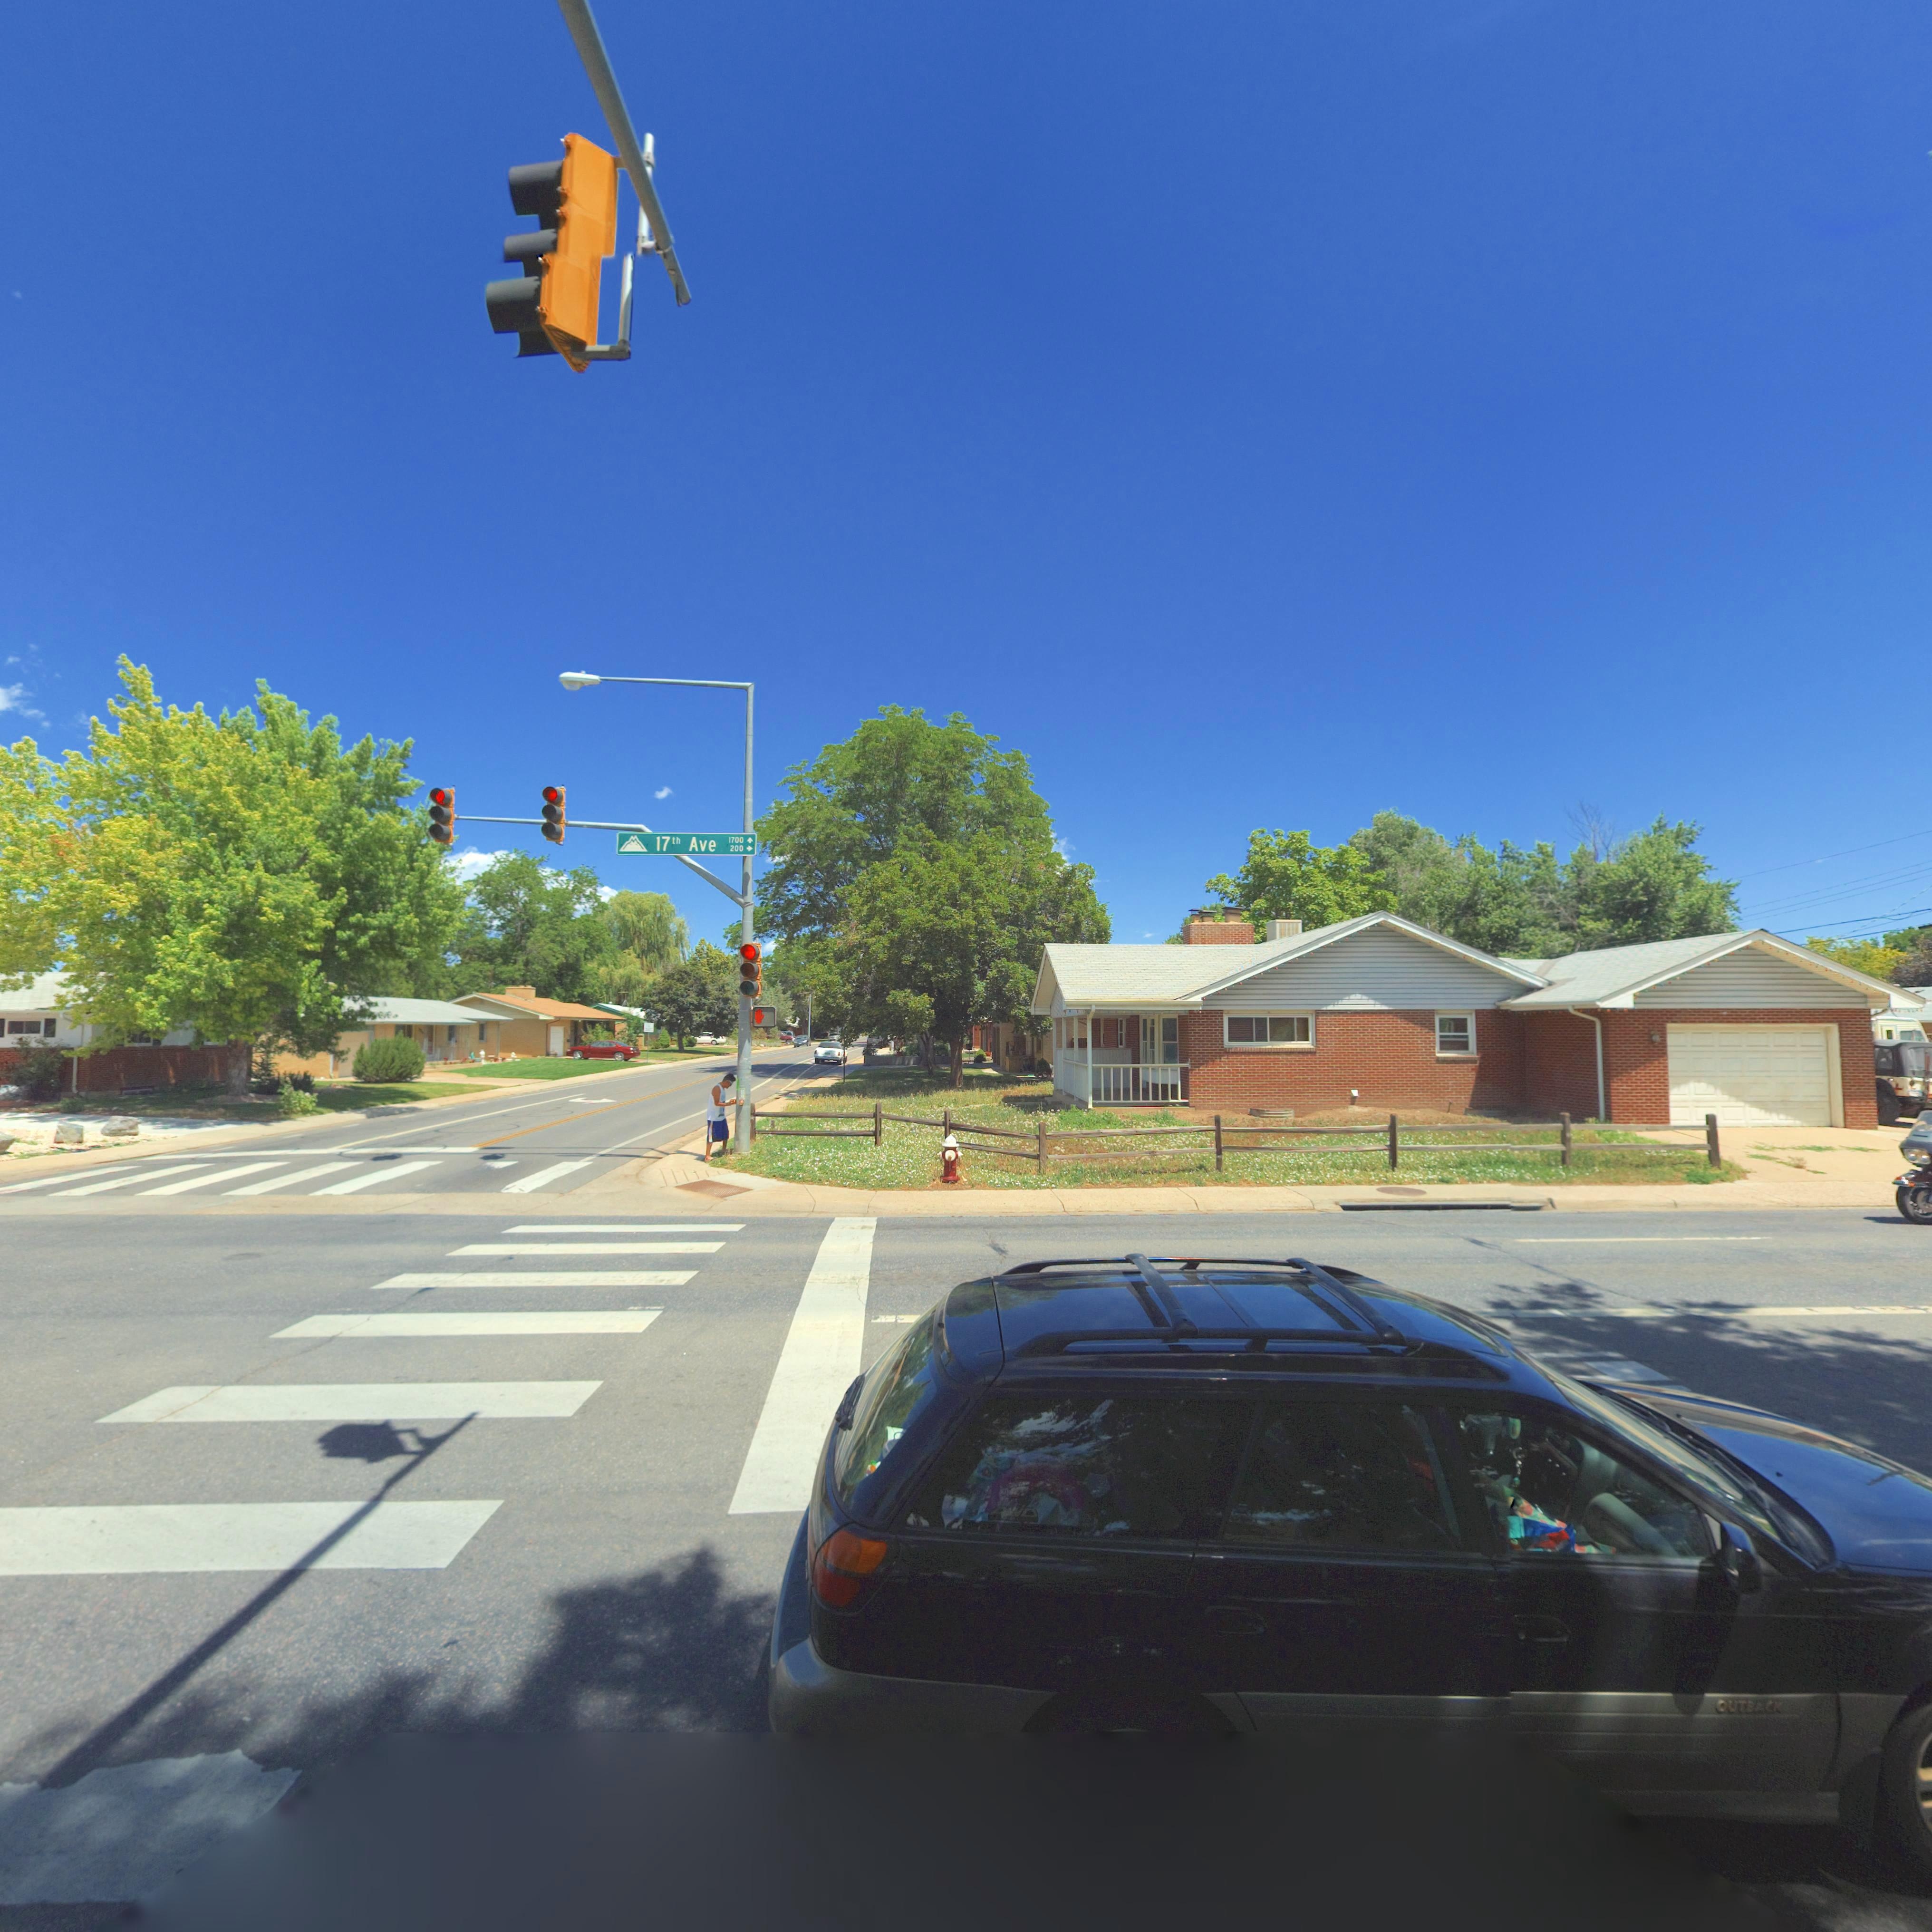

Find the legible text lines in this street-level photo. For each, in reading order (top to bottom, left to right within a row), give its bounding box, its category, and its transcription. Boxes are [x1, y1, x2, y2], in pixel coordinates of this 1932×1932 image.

[728, 836, 744, 843] StreetNumberRange: 1700
[656, 836, 716, 852] StreetName: 17th Ave
[730, 845, 754, 852] StreetNumberRange: 200->